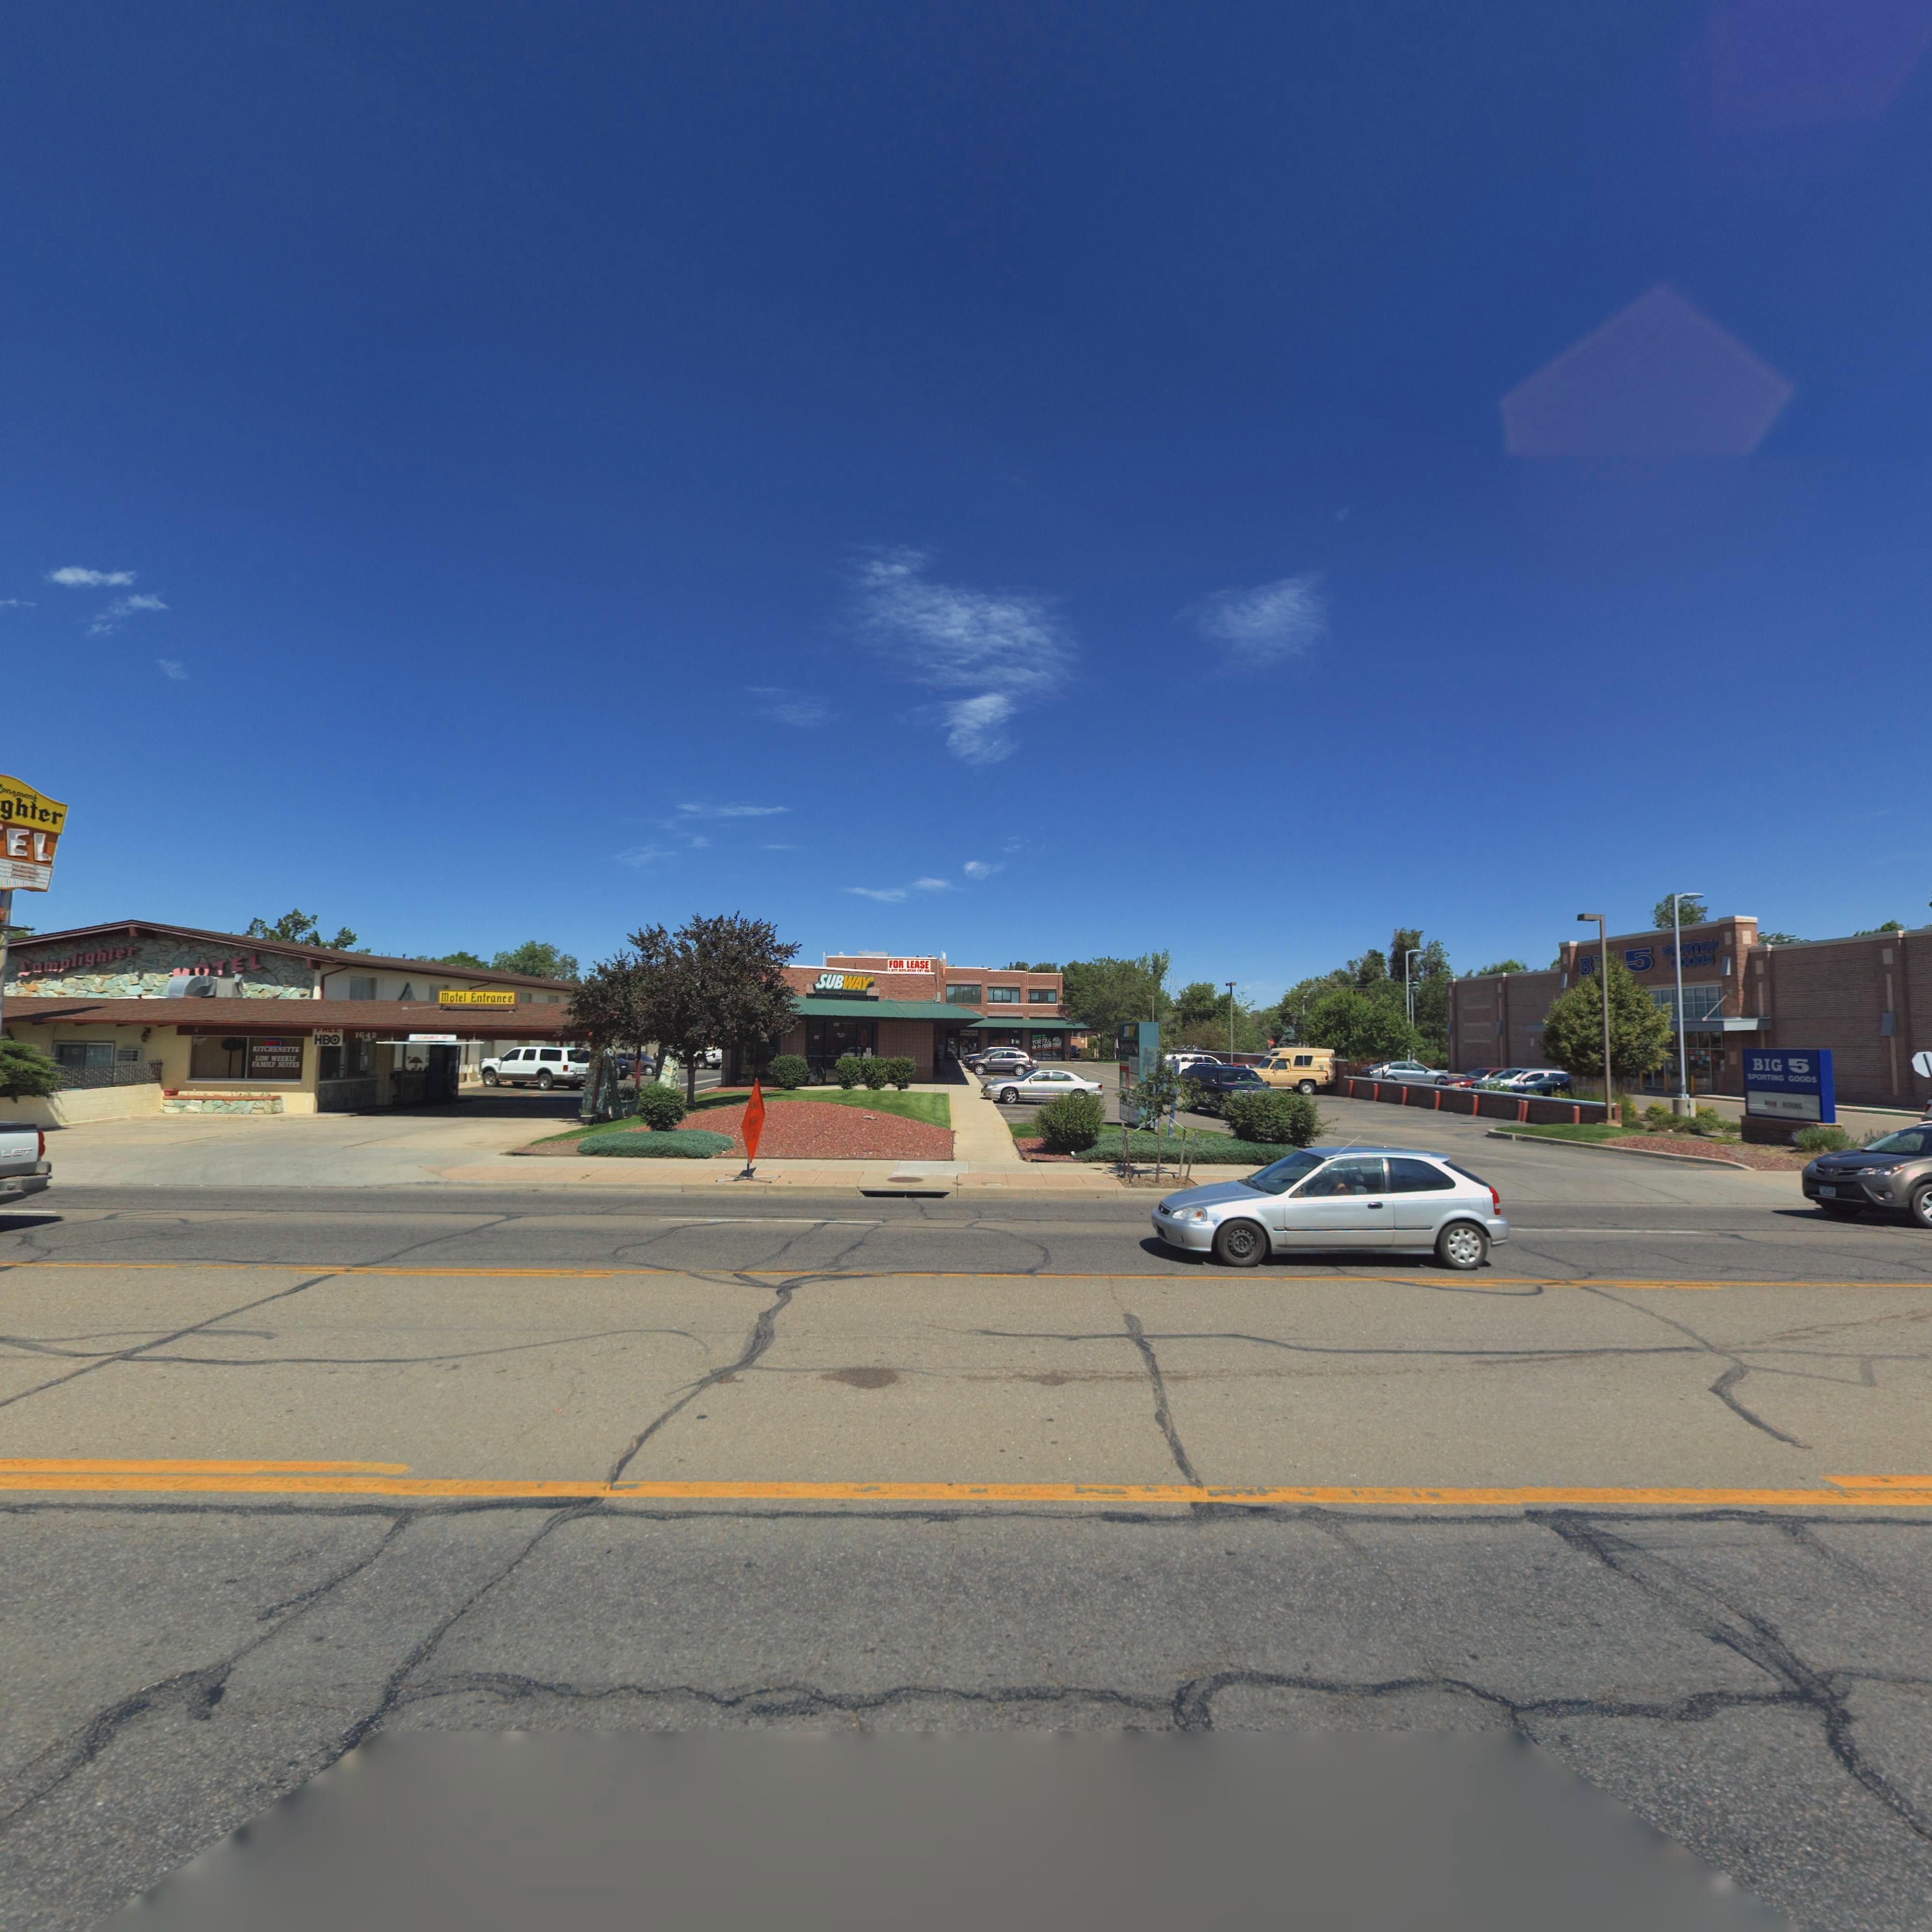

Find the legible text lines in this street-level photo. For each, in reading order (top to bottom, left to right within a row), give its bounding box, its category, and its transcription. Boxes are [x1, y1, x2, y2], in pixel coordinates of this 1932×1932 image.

[0, 796, 65, 826] BusinessName: ghter
[5, 826, 52, 863] BusinessName: EL
[1662, 938, 1721, 957] BusinessName: S**RT***
[15, 945, 138, 979] BusinessName: Lamplighter
[192, 953, 262, 981] BusinessName: OTEL
[1577, 954, 1603, 976] BusinessName: B*
[1623, 947, 1653, 972] BusinessName: 5
[1671, 954, 1714, 969] BusinessName: **ODS
[813, 973, 875, 991] BusinessName: SUBWAY
[354, 1031, 377, 1038] StreetNumber: 1642
[1123, 1024, 1136, 1037] BusinessName: SU***Y
[1752, 1057, 1811, 1074] BusinessName: BIG 5
[1747, 1072, 1817, 1083] BusinessName: SPORTING GOODS